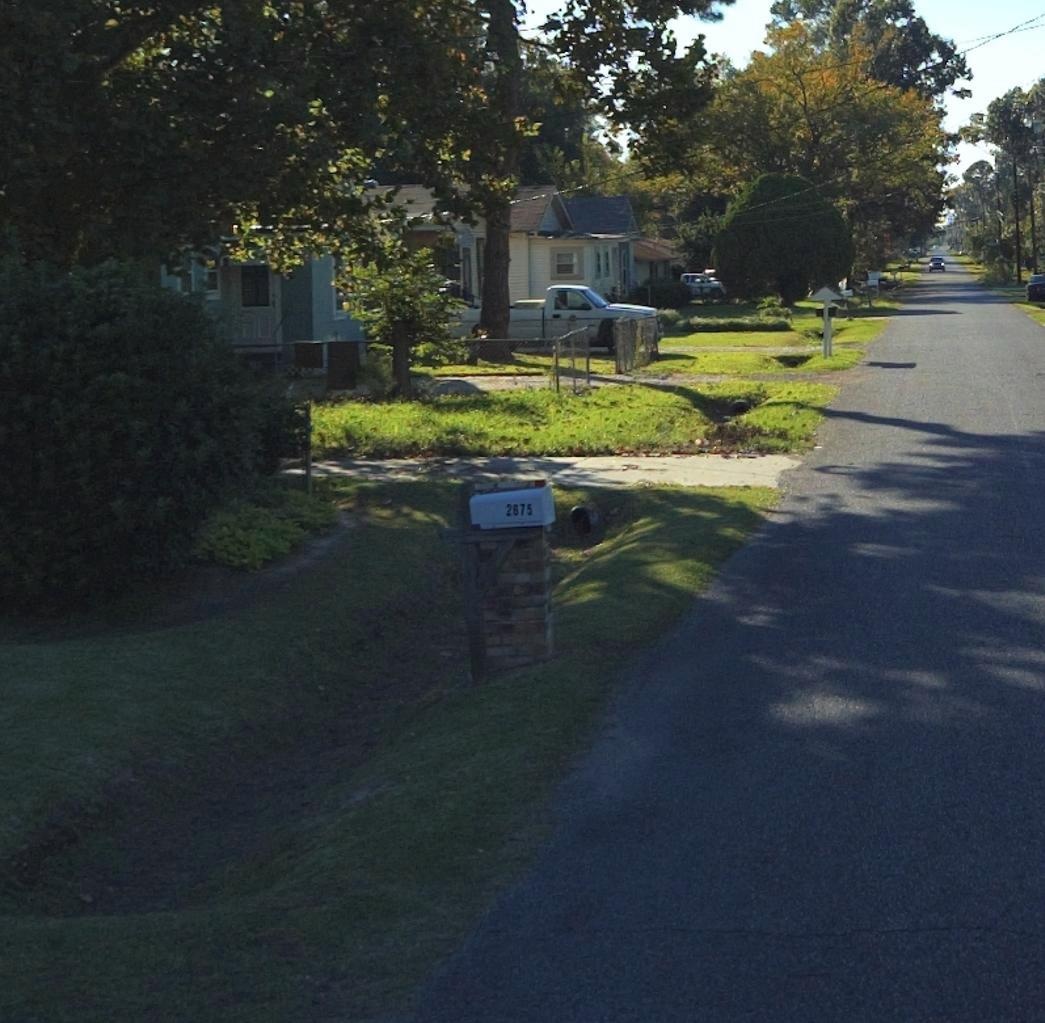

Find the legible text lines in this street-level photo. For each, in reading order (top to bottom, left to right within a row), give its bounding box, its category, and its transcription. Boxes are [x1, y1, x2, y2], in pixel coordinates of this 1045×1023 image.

[504, 502, 534, 517] StreetNumber: 2875